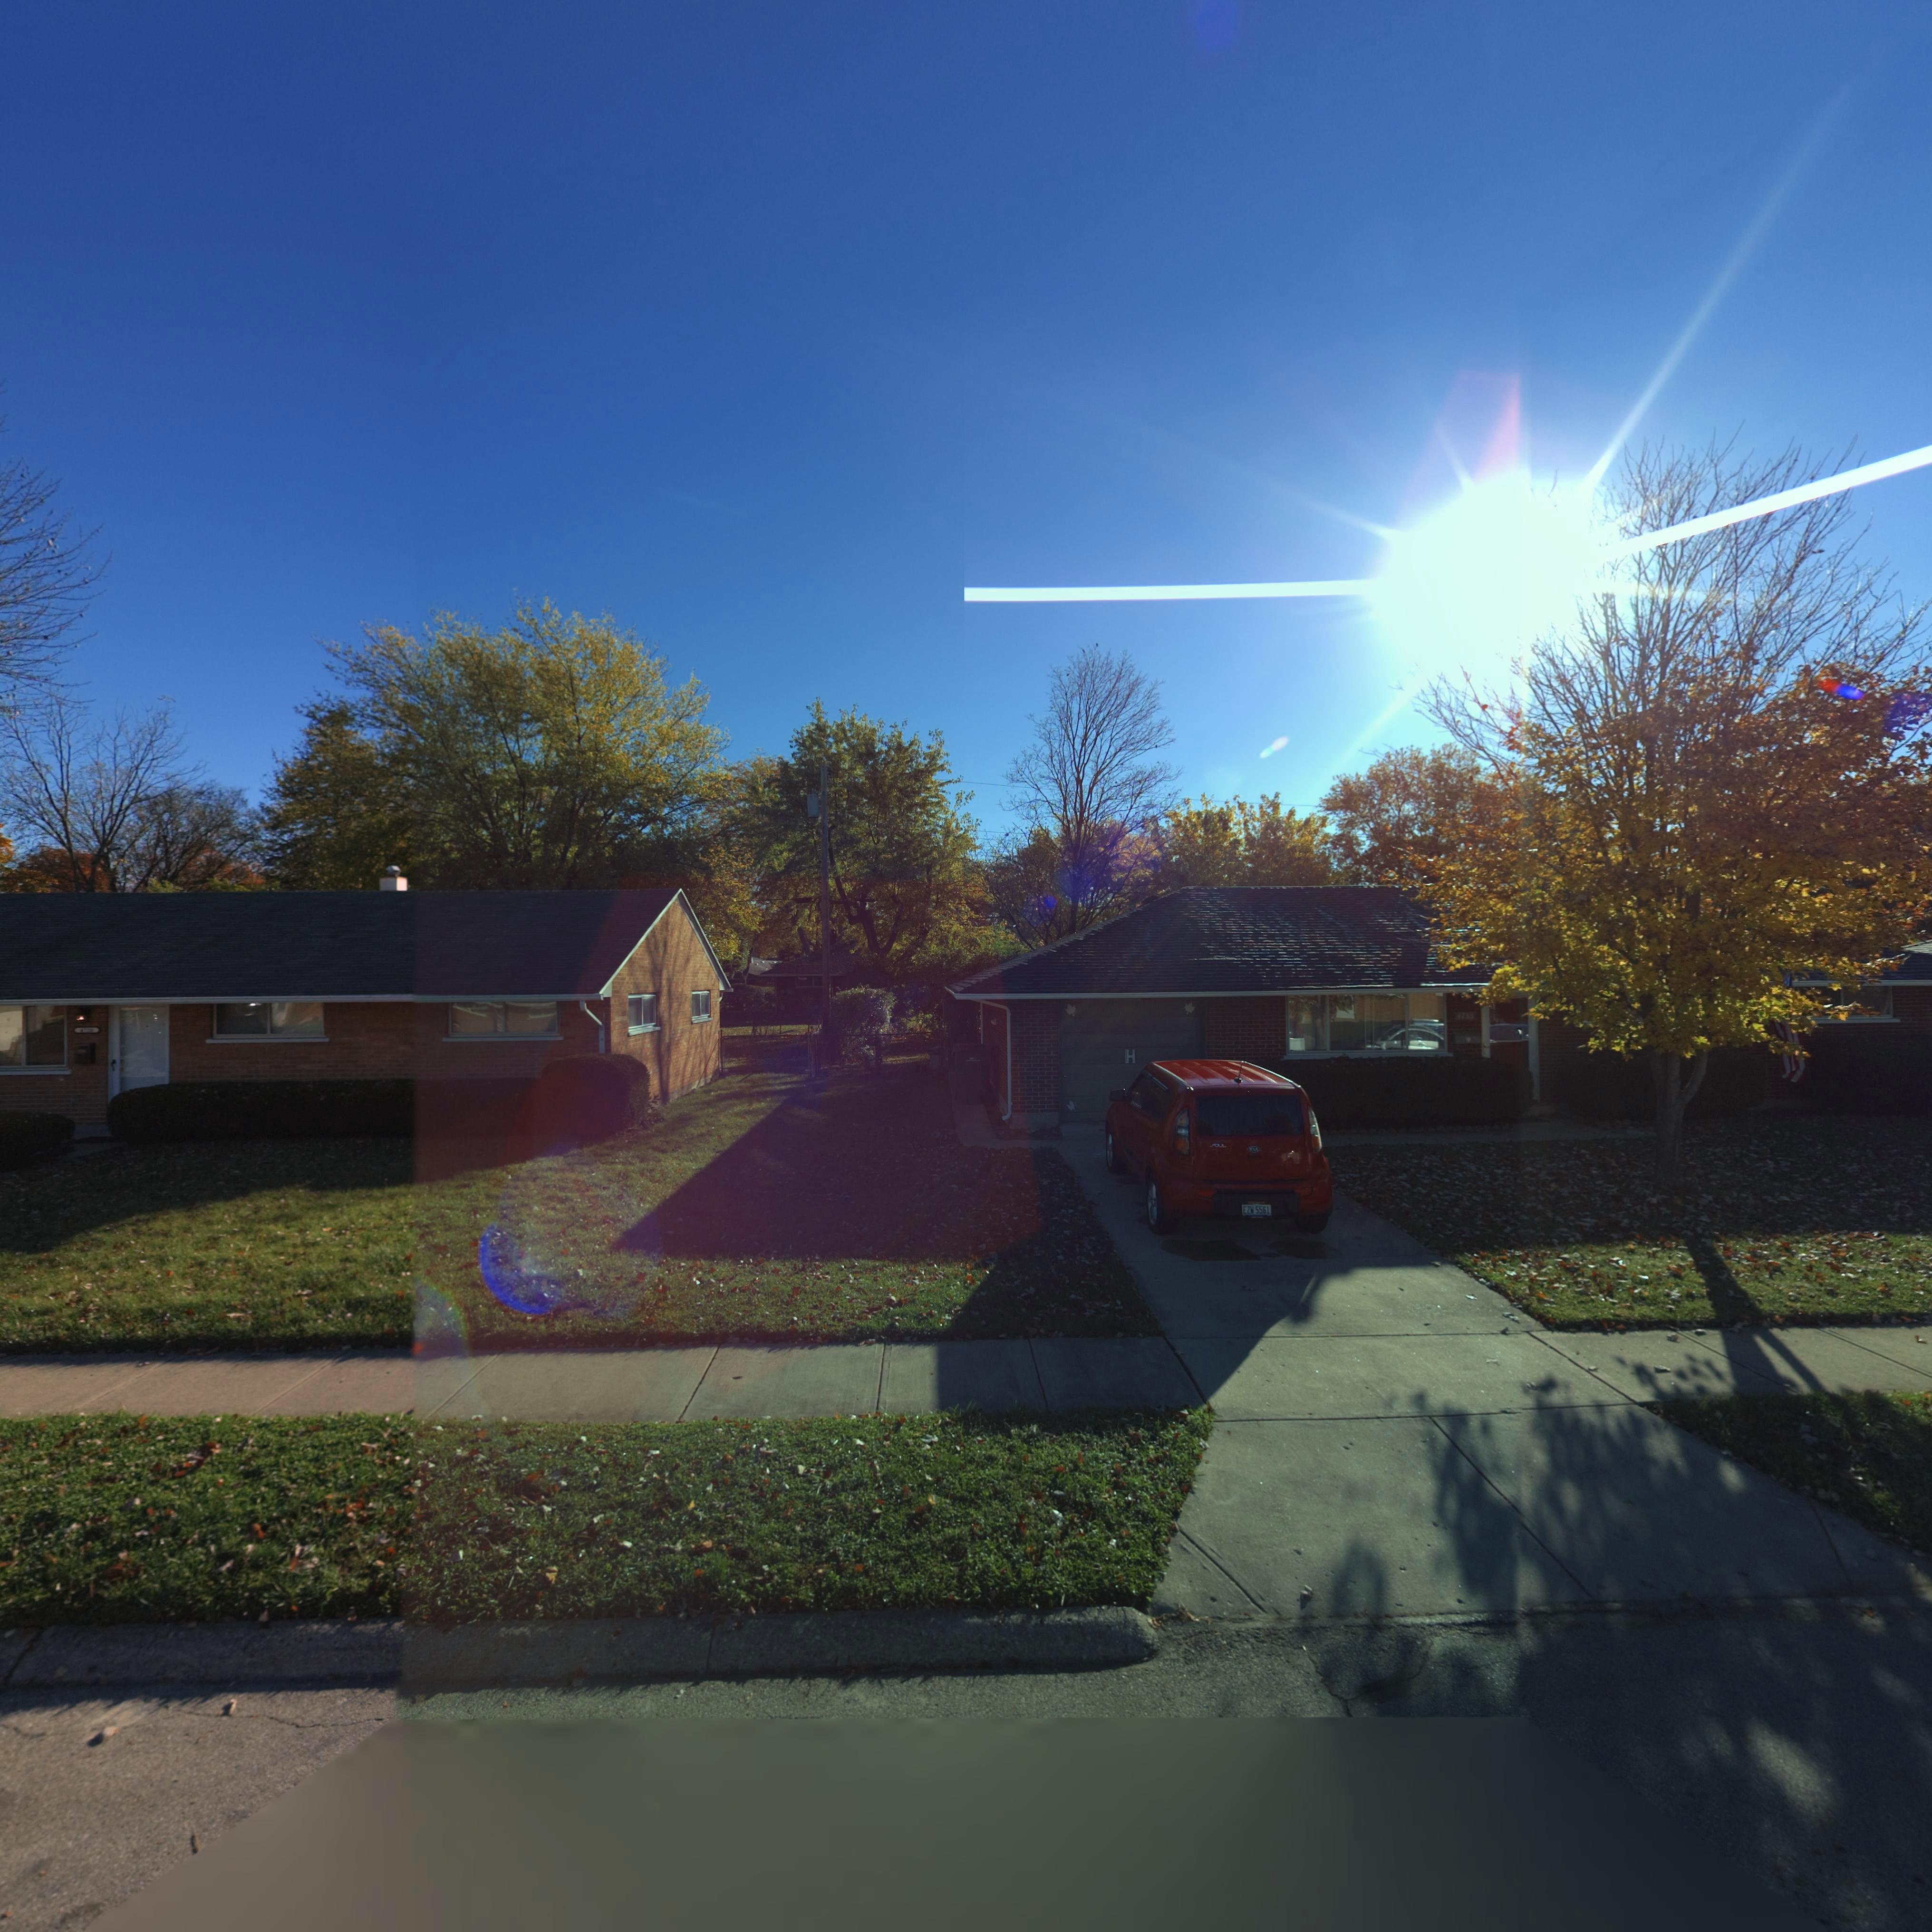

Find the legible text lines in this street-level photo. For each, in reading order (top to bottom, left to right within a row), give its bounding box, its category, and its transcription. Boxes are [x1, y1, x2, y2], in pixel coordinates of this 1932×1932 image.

[1456, 1012, 1474, 1019] StreetNumber: 4735